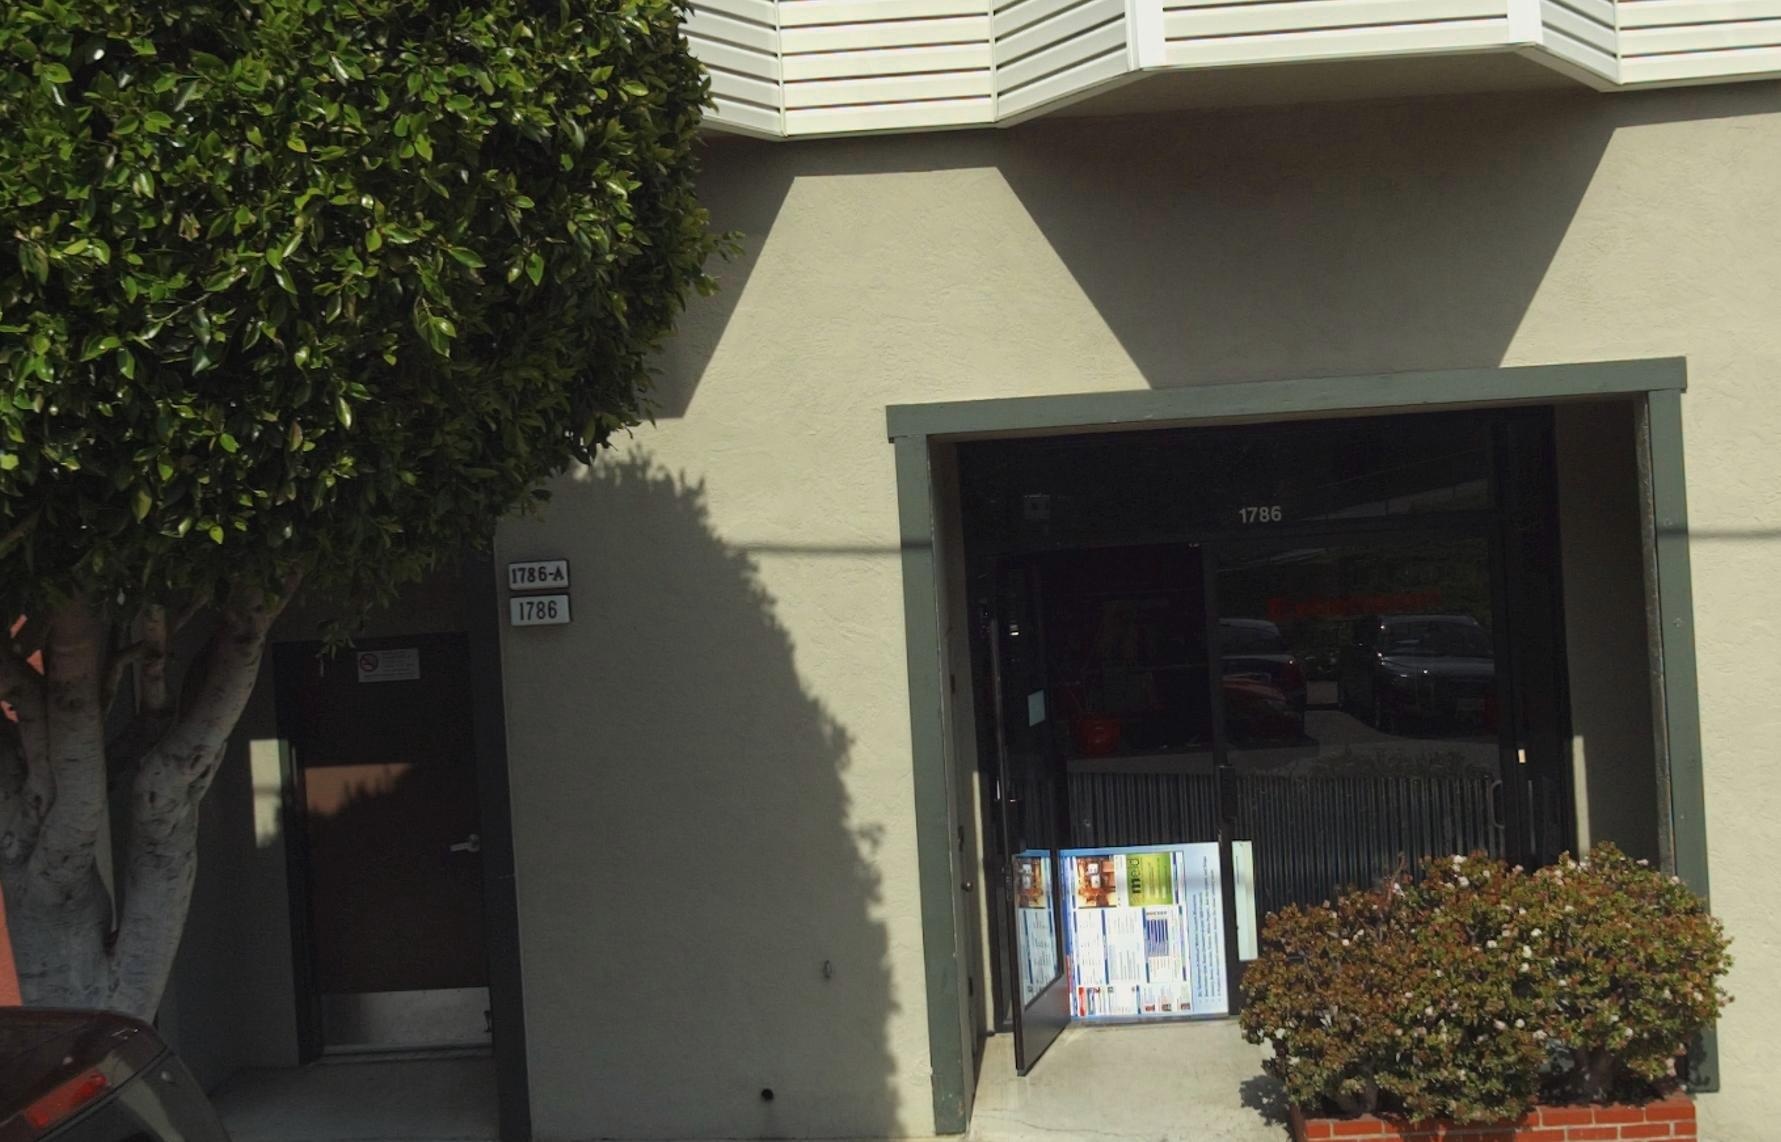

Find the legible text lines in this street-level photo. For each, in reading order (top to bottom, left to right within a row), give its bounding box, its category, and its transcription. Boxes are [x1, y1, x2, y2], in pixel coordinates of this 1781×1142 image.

[1238, 504, 1283, 524] StreetNumber: 1786
[510, 563, 567, 586] StreetNumber: 1786-A
[518, 599, 559, 622] StreetNumber: 1786
[1125, 858, 1142, 895] None: Me*d